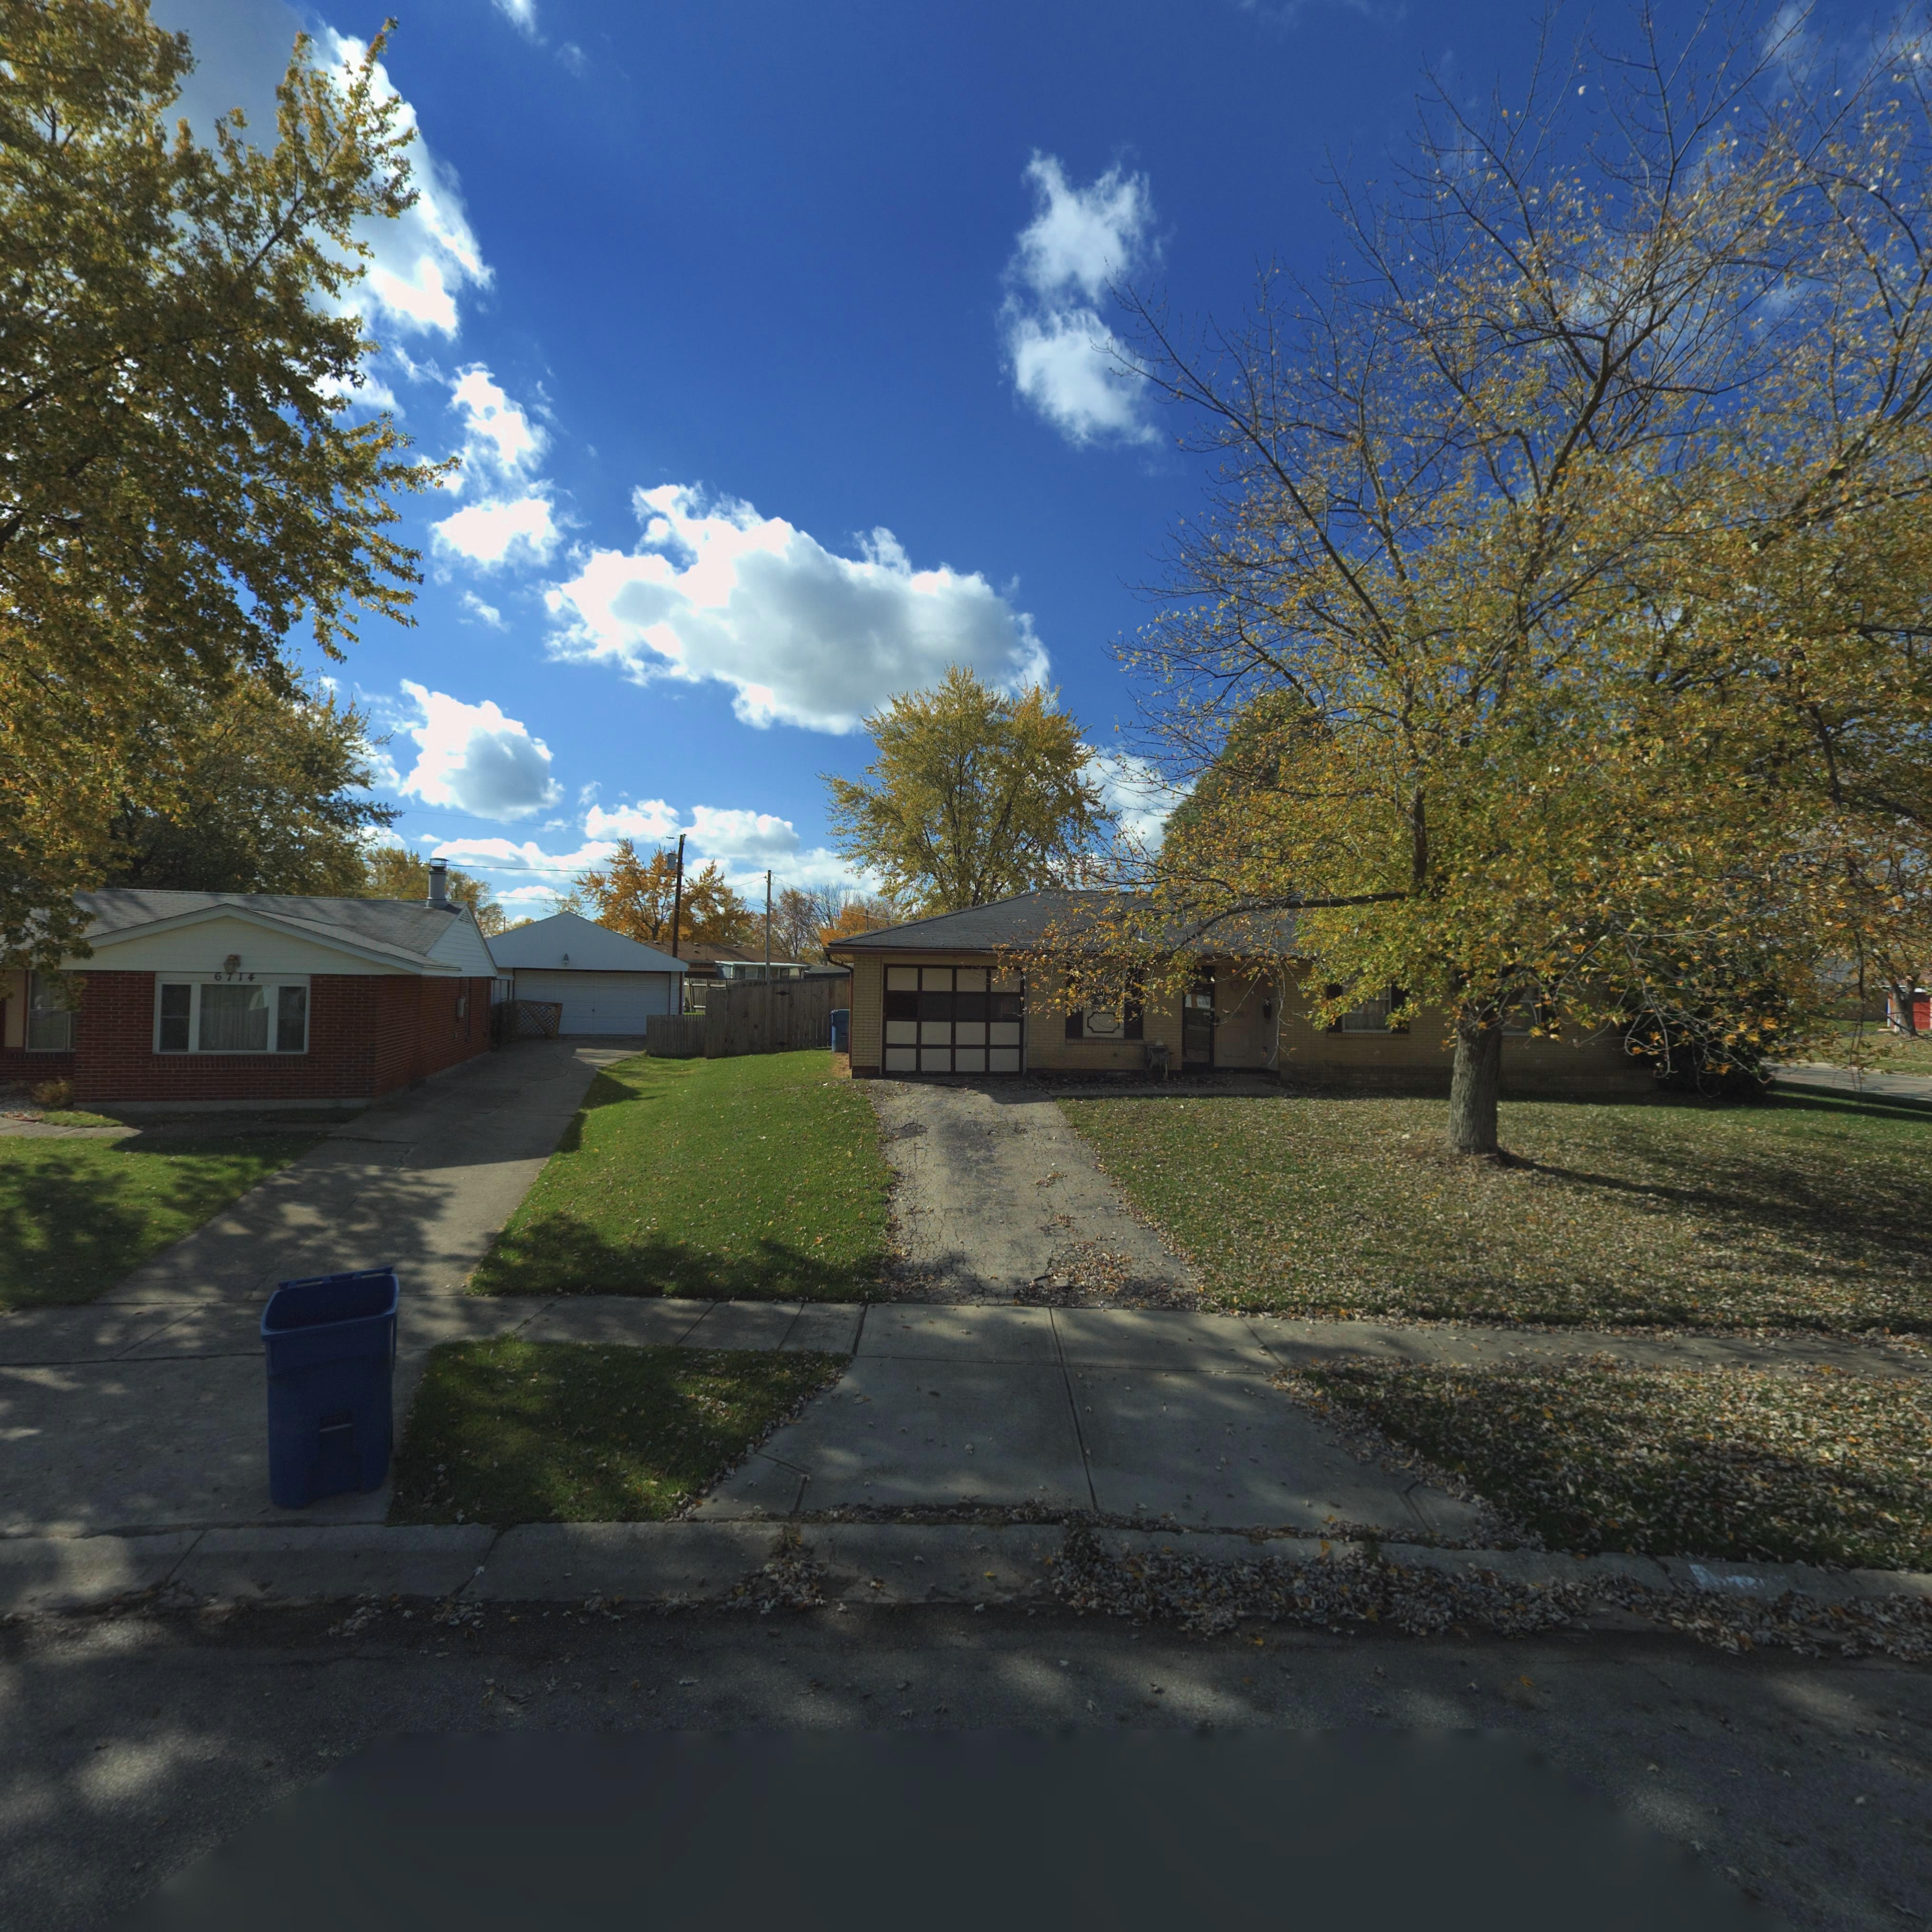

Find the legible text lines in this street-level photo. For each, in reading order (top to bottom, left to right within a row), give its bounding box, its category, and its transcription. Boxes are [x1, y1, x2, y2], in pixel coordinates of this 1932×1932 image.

[213, 971, 255, 982] StreetNumber: 6714
[1235, 1010, 1245, 1016] StreetNumber: 00